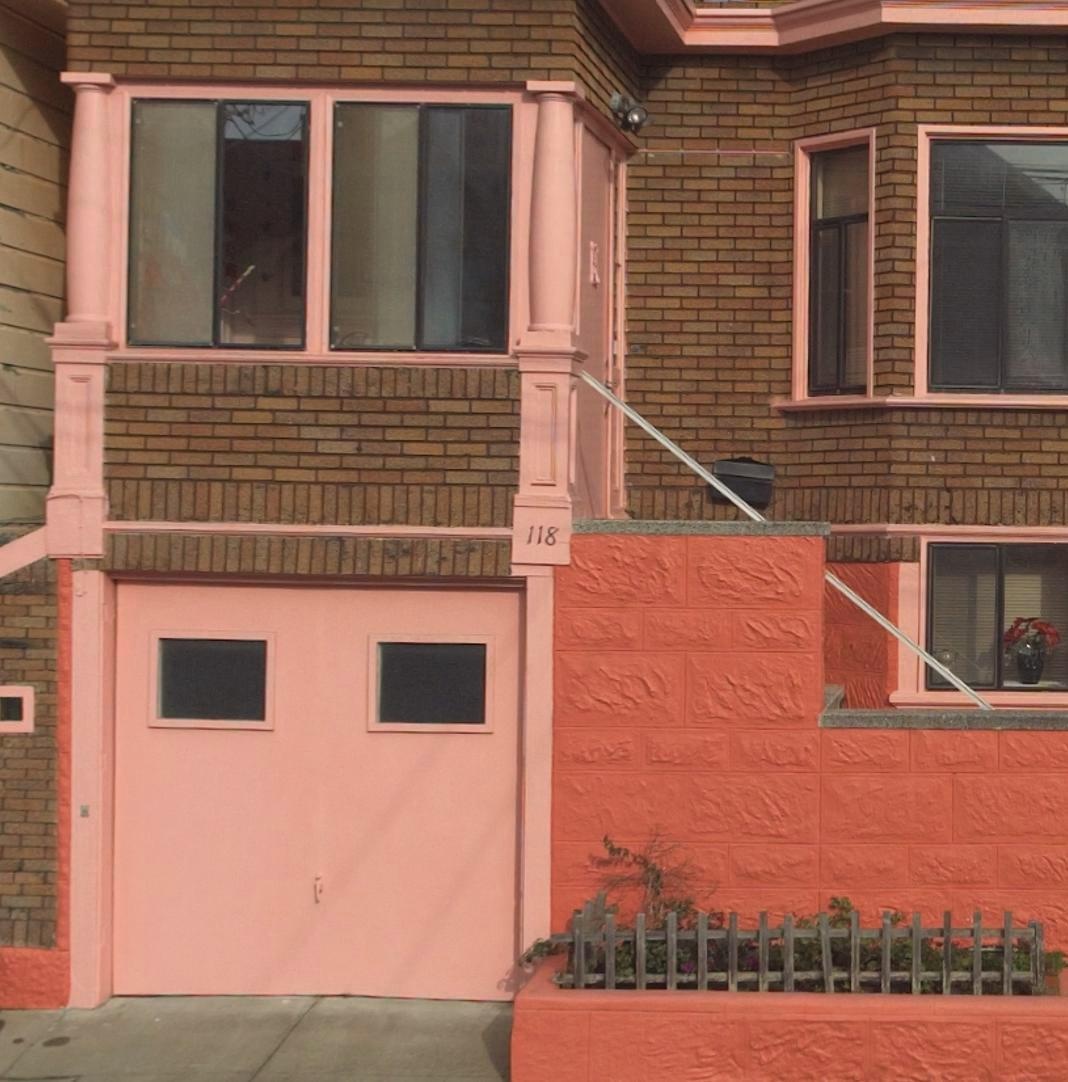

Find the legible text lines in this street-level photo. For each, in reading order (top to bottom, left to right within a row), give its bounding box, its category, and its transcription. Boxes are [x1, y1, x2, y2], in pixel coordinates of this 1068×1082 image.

[526, 524, 560, 547] StreetNumber: 118